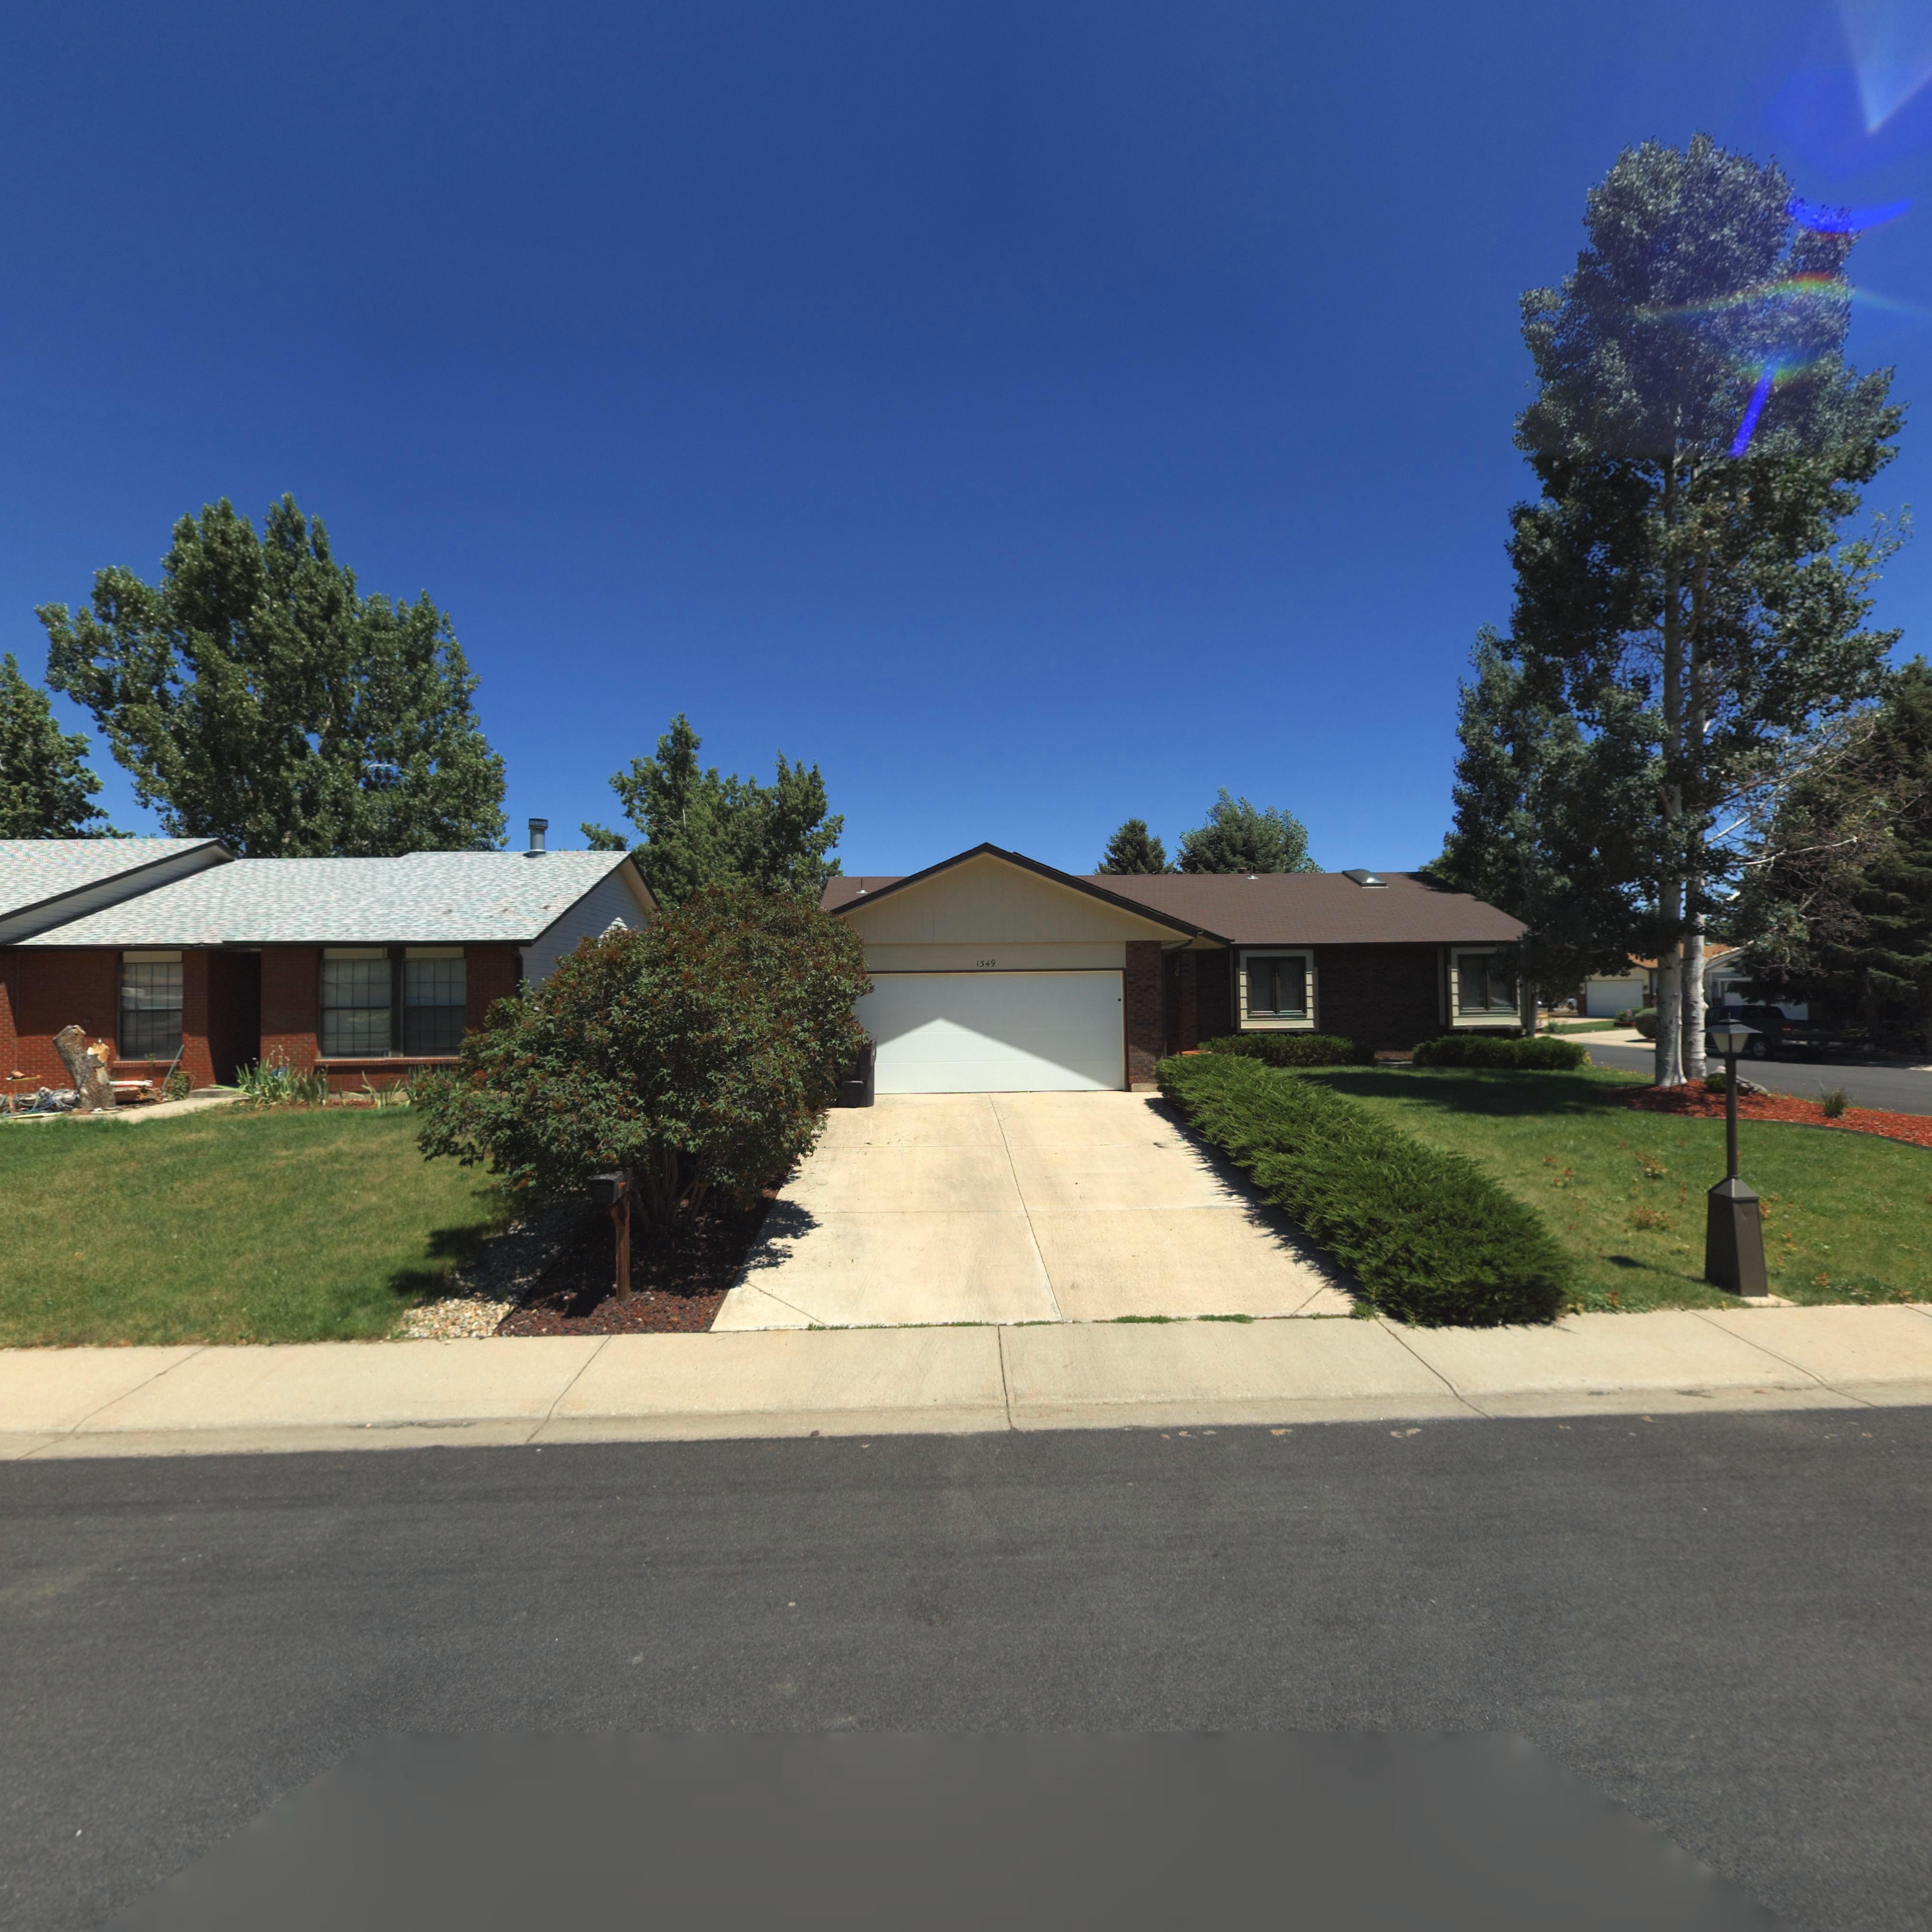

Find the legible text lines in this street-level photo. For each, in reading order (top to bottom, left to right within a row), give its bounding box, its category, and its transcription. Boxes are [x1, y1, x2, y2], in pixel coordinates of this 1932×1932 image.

[976, 959, 996, 967] StreetNumber: 1349